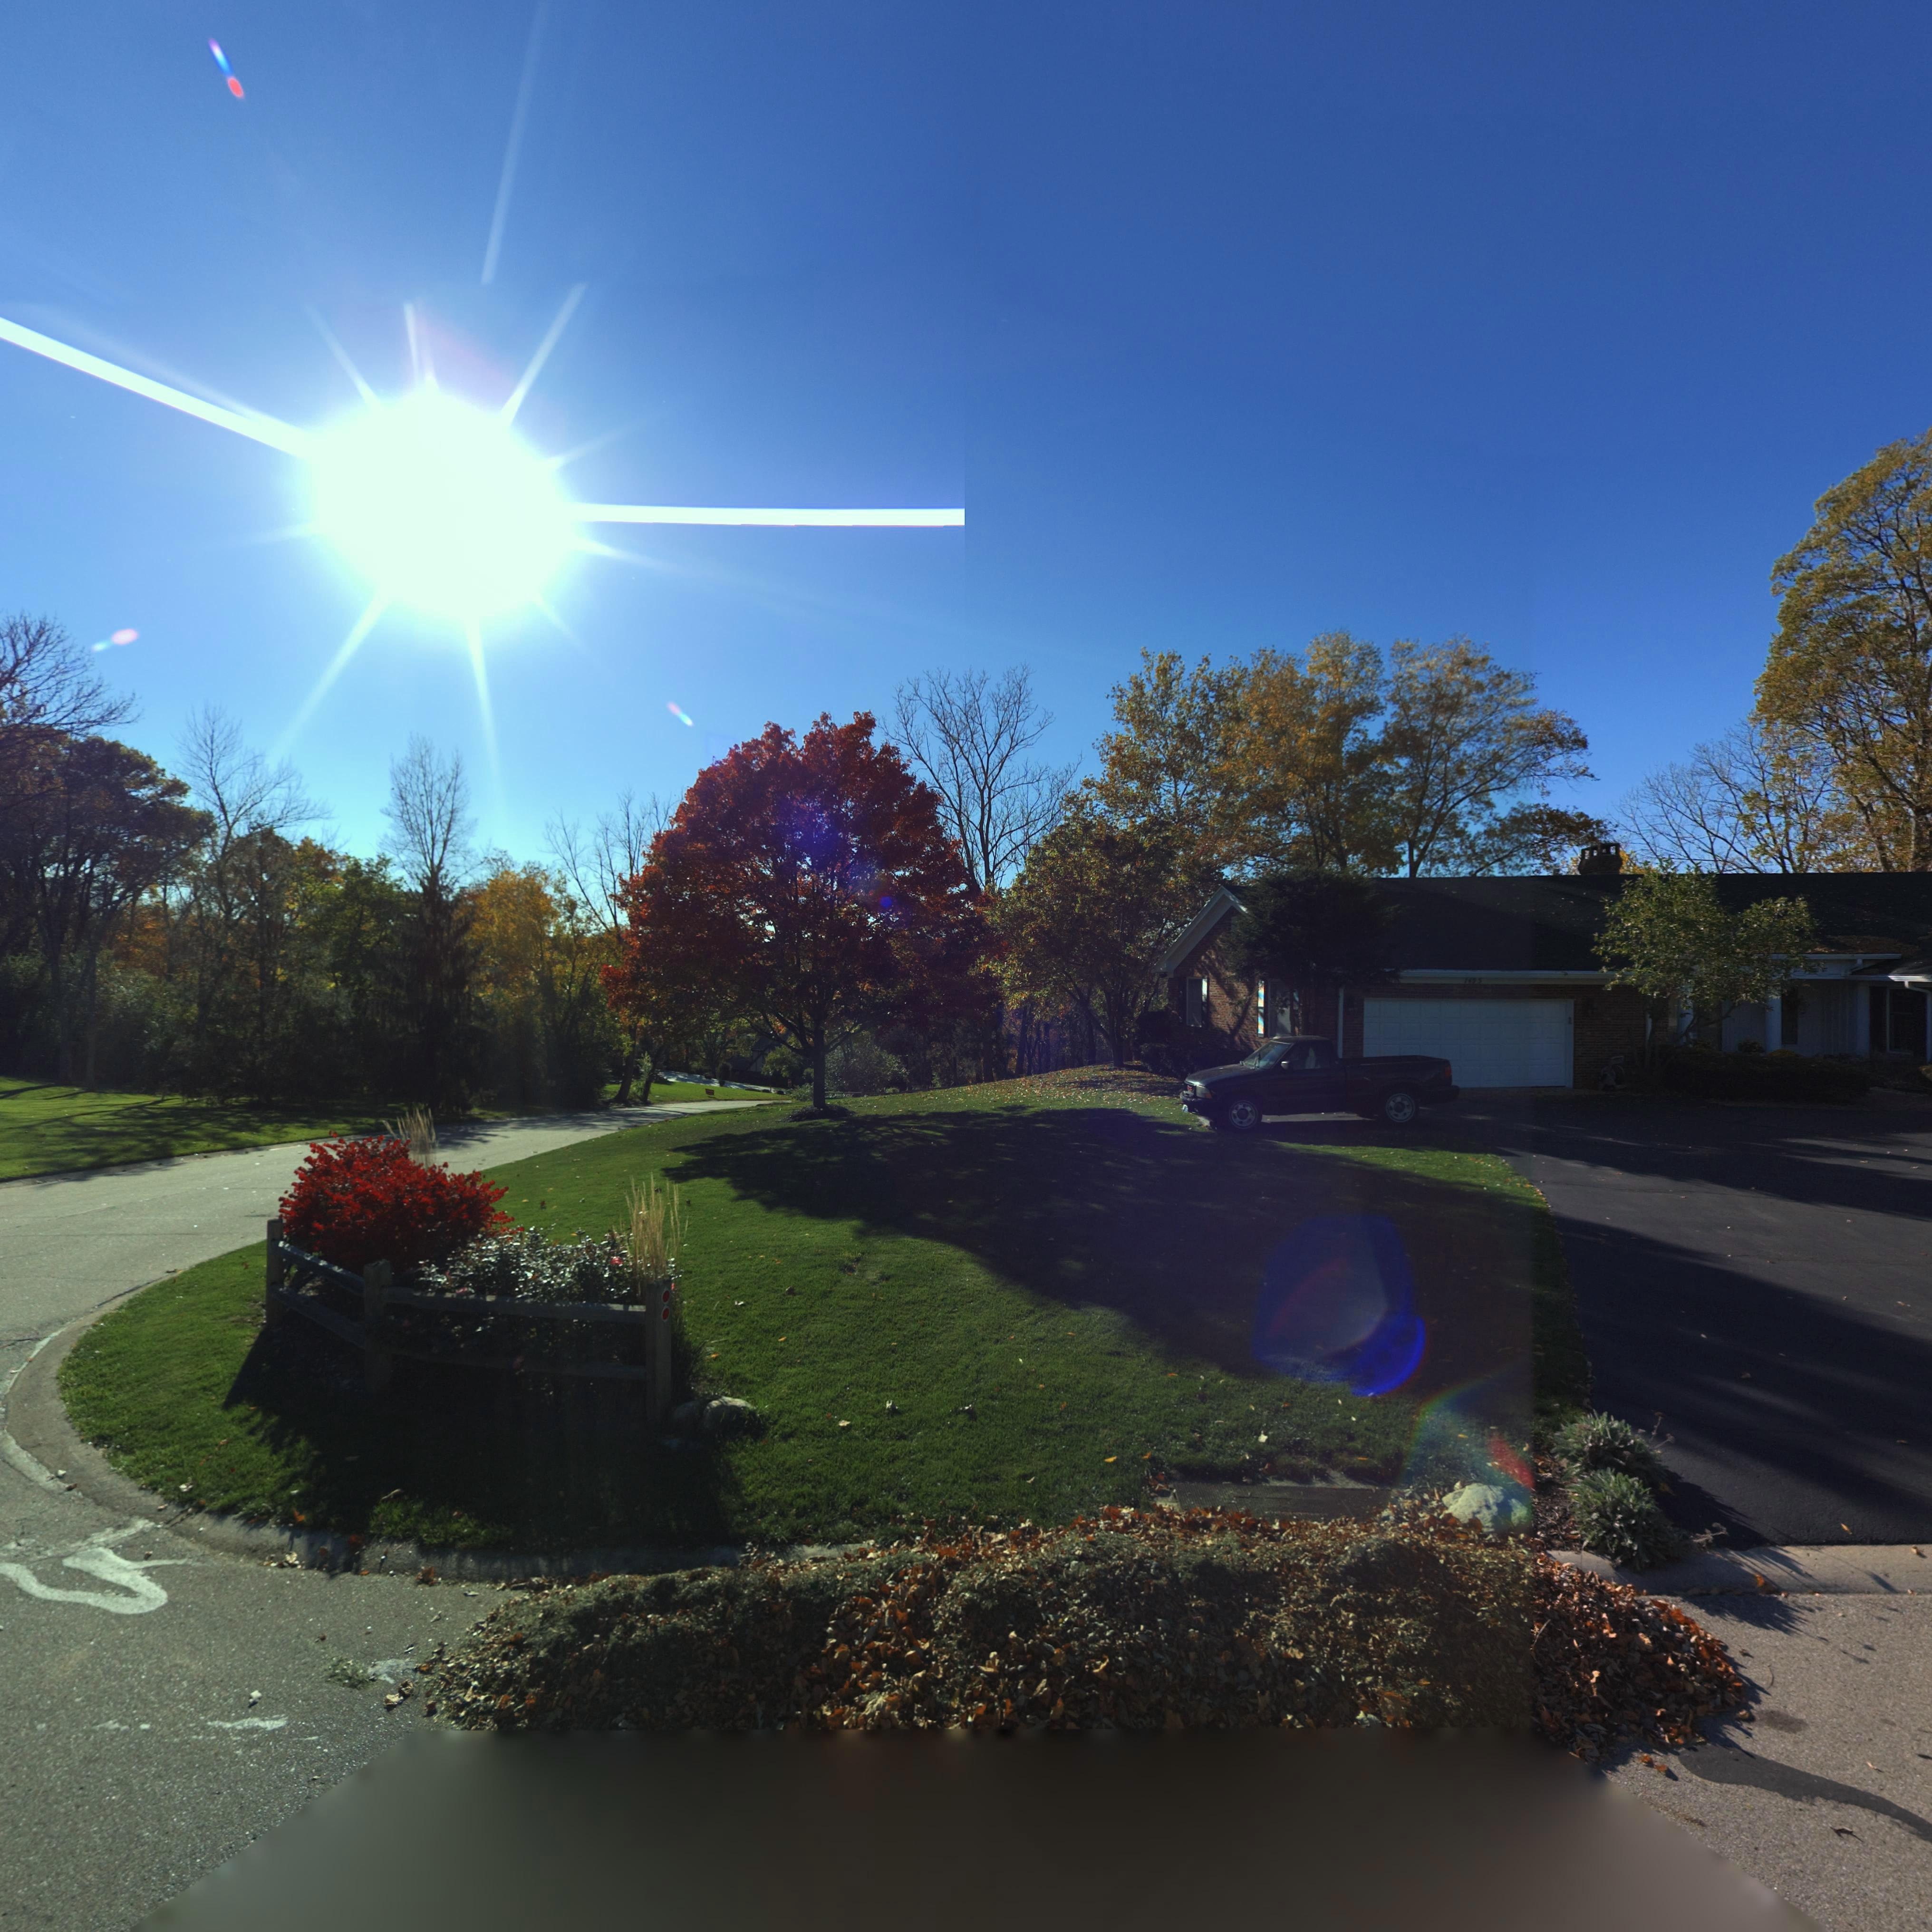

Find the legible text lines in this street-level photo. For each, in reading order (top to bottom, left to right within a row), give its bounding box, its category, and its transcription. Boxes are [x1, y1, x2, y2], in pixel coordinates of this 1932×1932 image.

[1462, 977, 1483, 984] StreetNumber: 1495